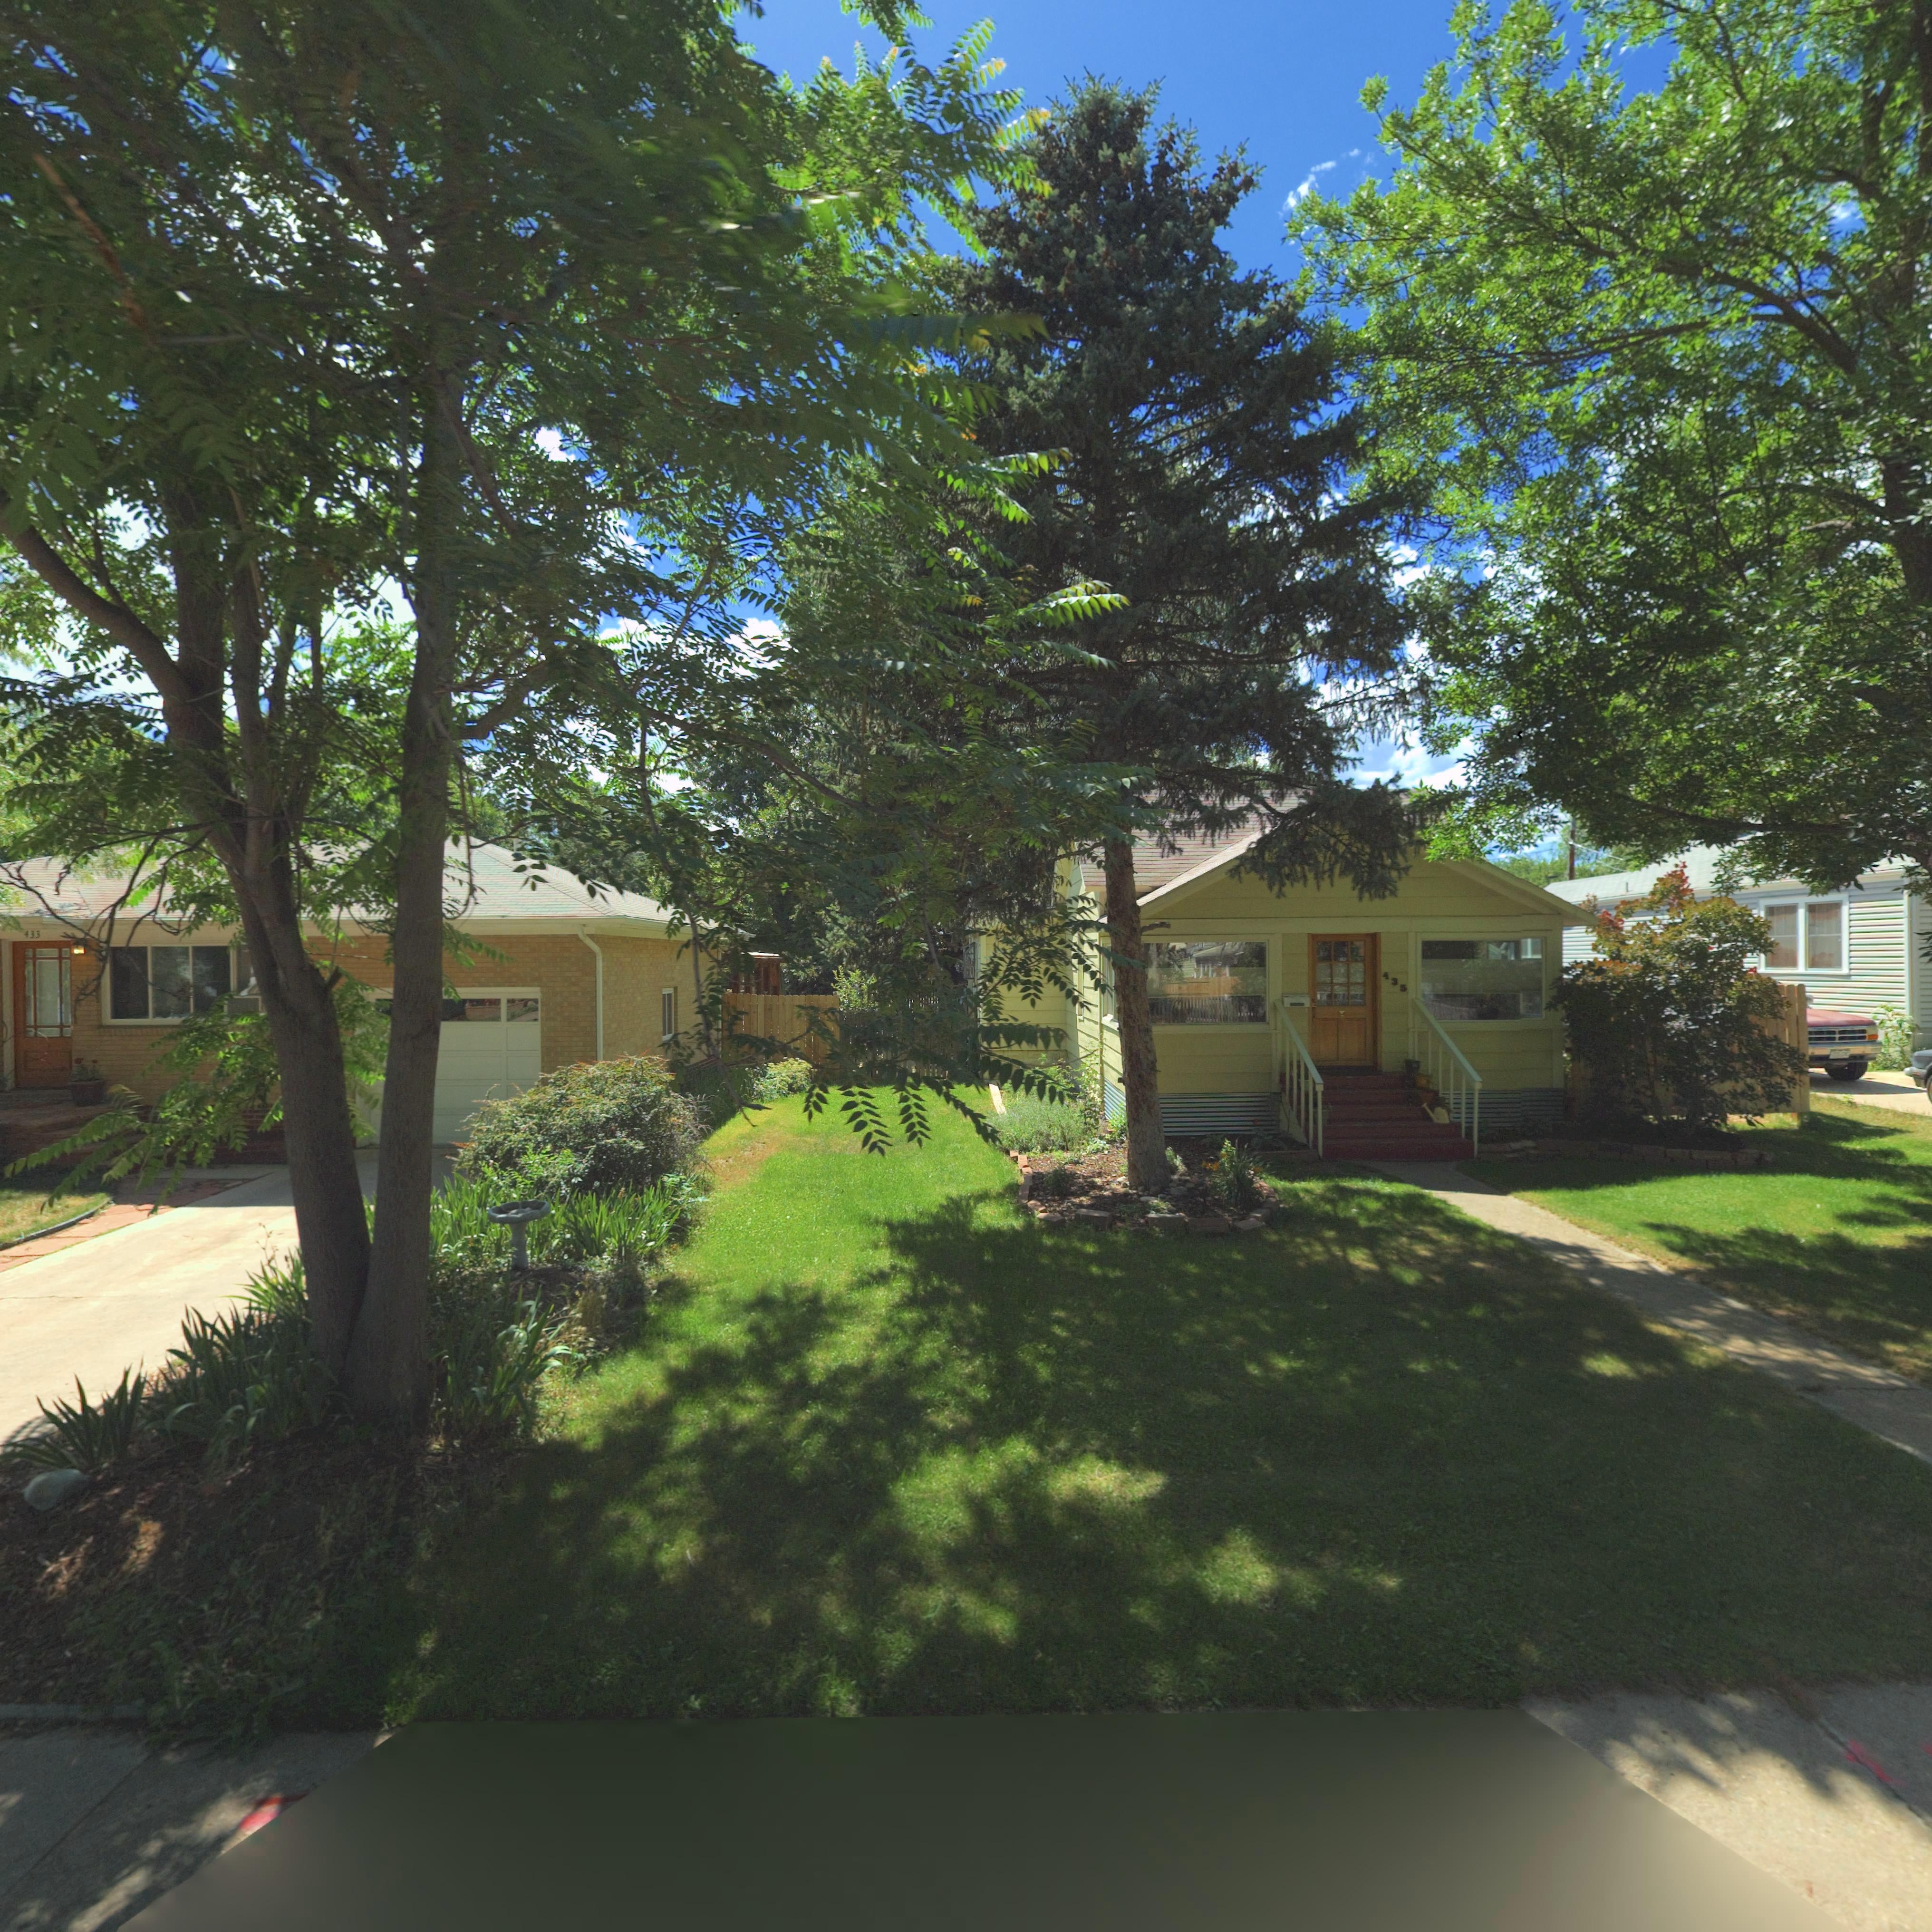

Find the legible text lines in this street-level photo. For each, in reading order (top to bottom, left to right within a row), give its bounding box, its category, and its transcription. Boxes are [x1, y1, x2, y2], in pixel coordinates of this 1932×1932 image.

[23, 930, 40, 939] StreetNumber: 433
[1382, 970, 1408, 994] StreetNumber: 435